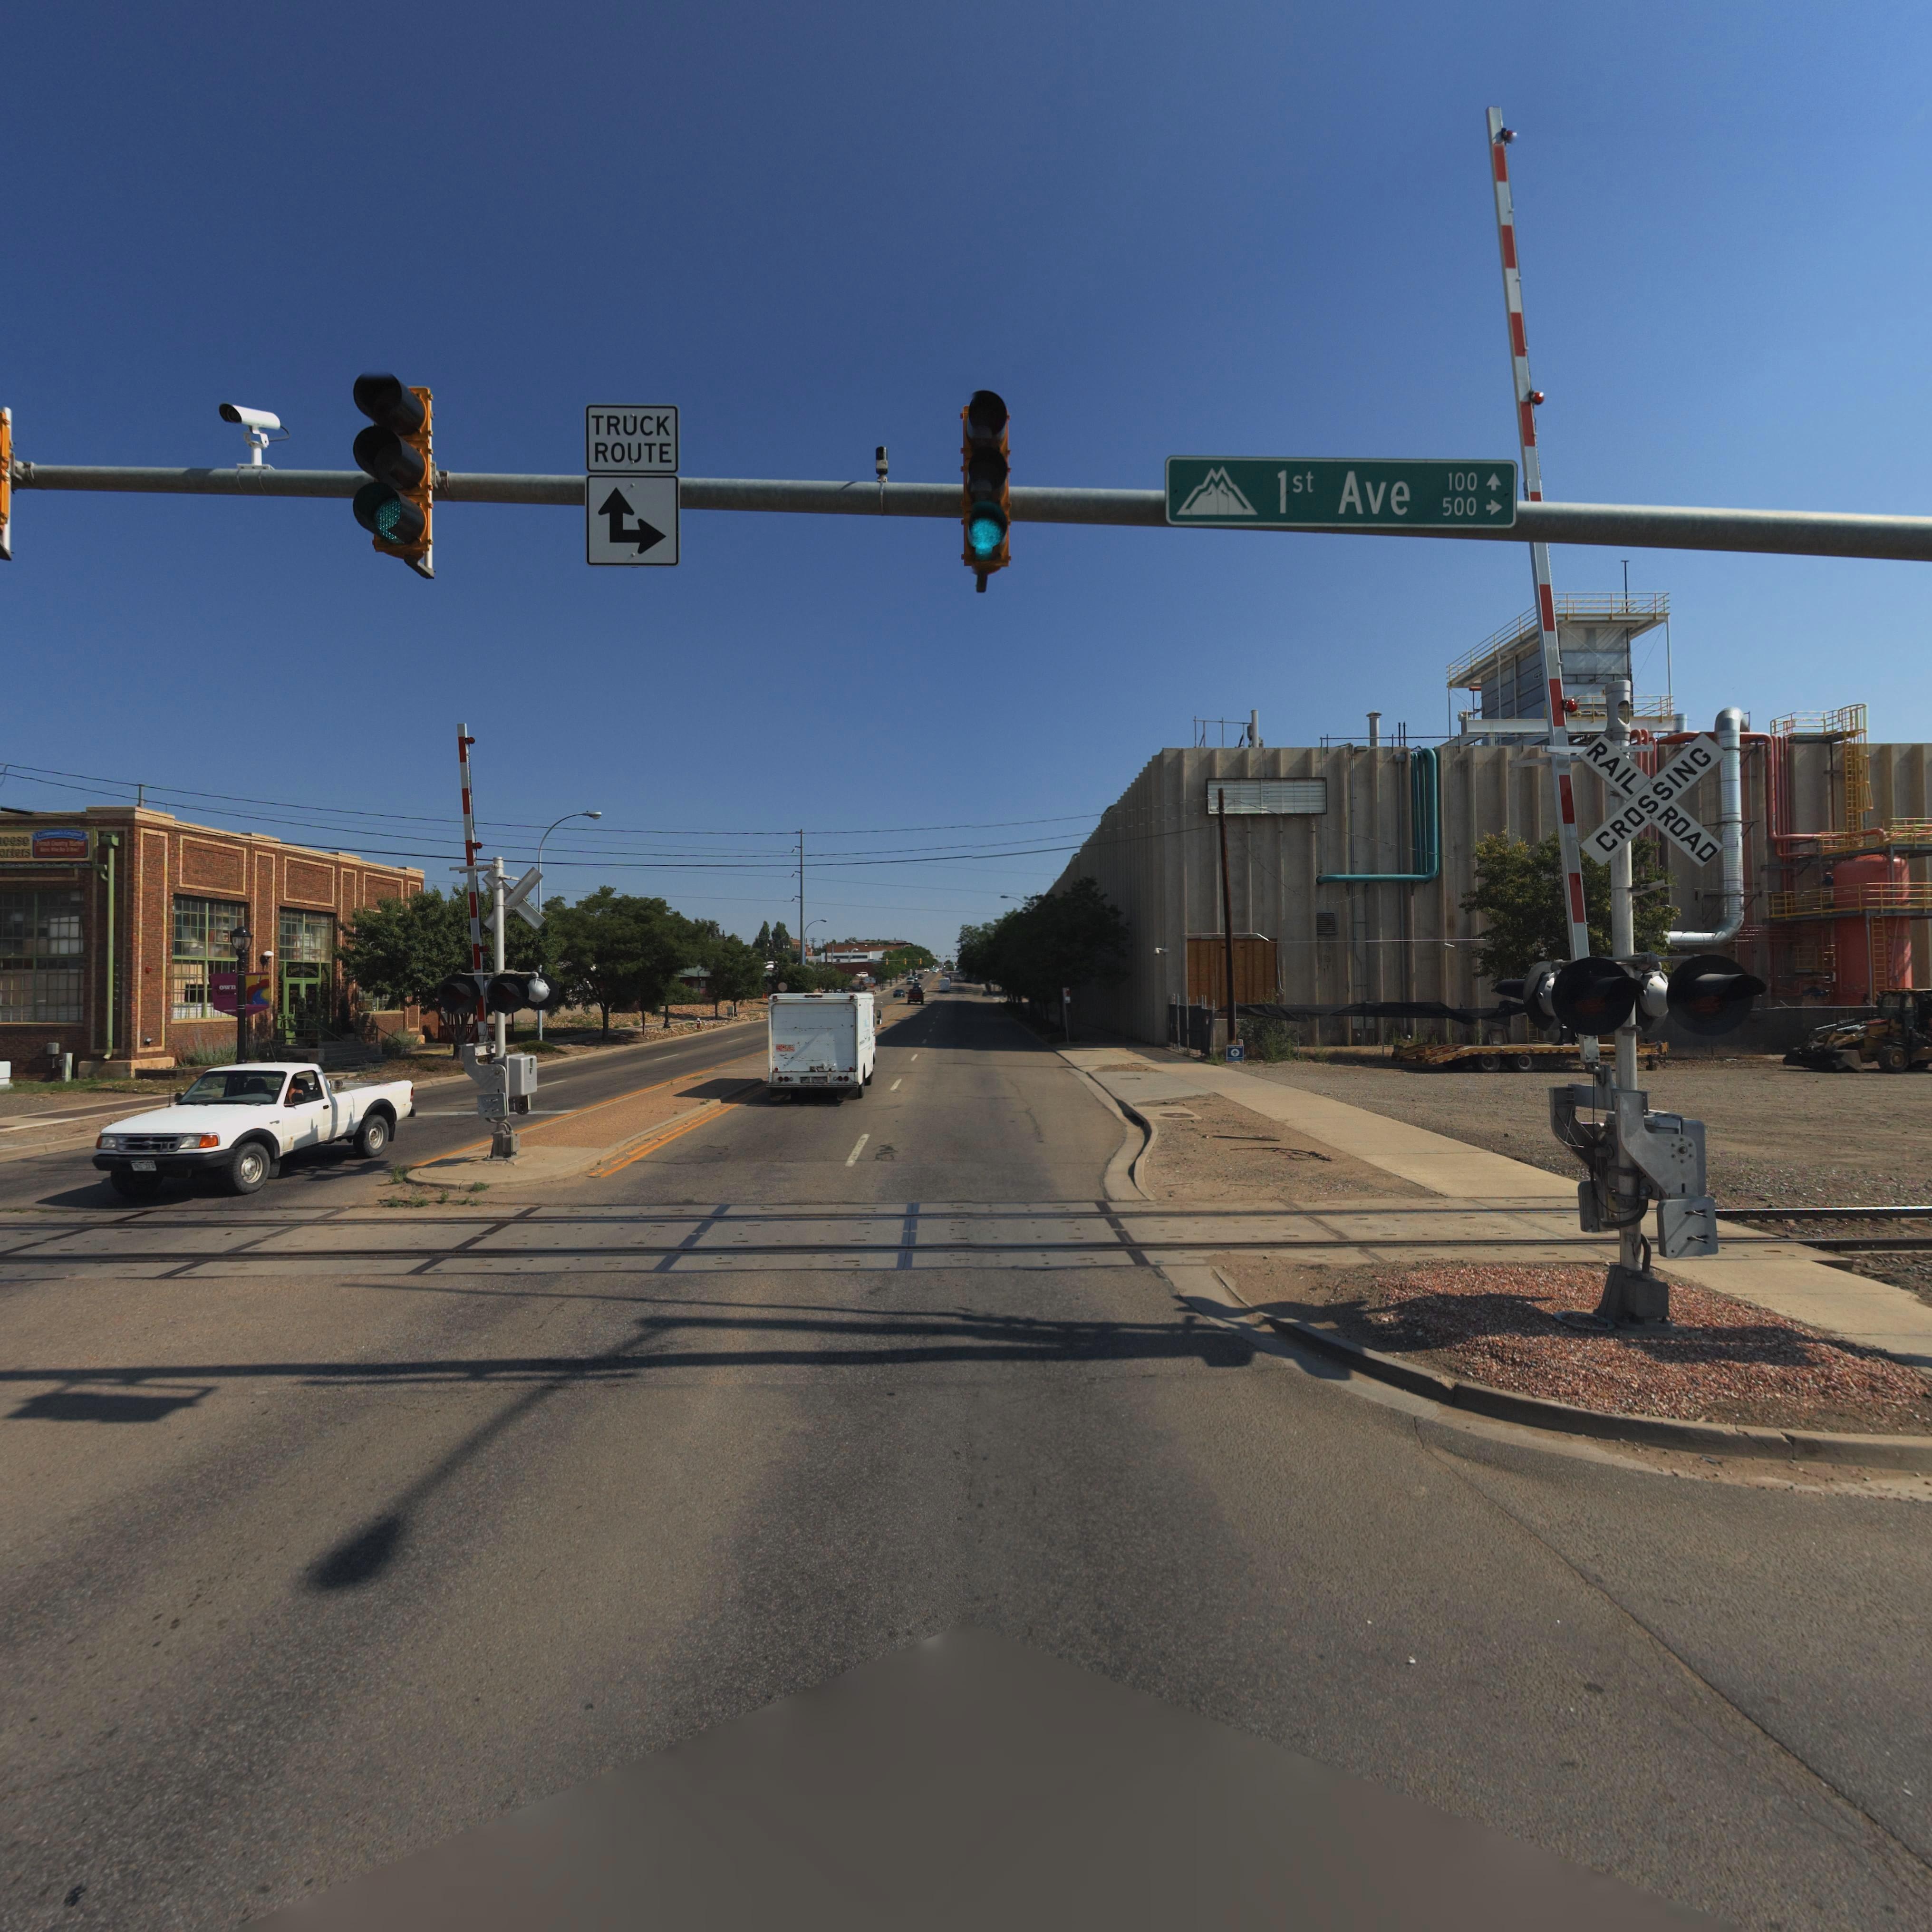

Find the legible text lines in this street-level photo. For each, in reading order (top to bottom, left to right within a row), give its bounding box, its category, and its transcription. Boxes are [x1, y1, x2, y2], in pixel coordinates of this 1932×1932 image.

[1448, 472, 1478, 492] StreetNumberRange: 100
[1276, 468, 1411, 516] StreetName: 1st Ave
[1441, 496, 1503, 517] StreetNumberRange: 500 ->
[2, 836, 30, 847] BusinessName: eese
[3, 849, 31, 858] BusinessName: rters
[287, 964, 318, 976] BusinessName: Ch***e Imp******